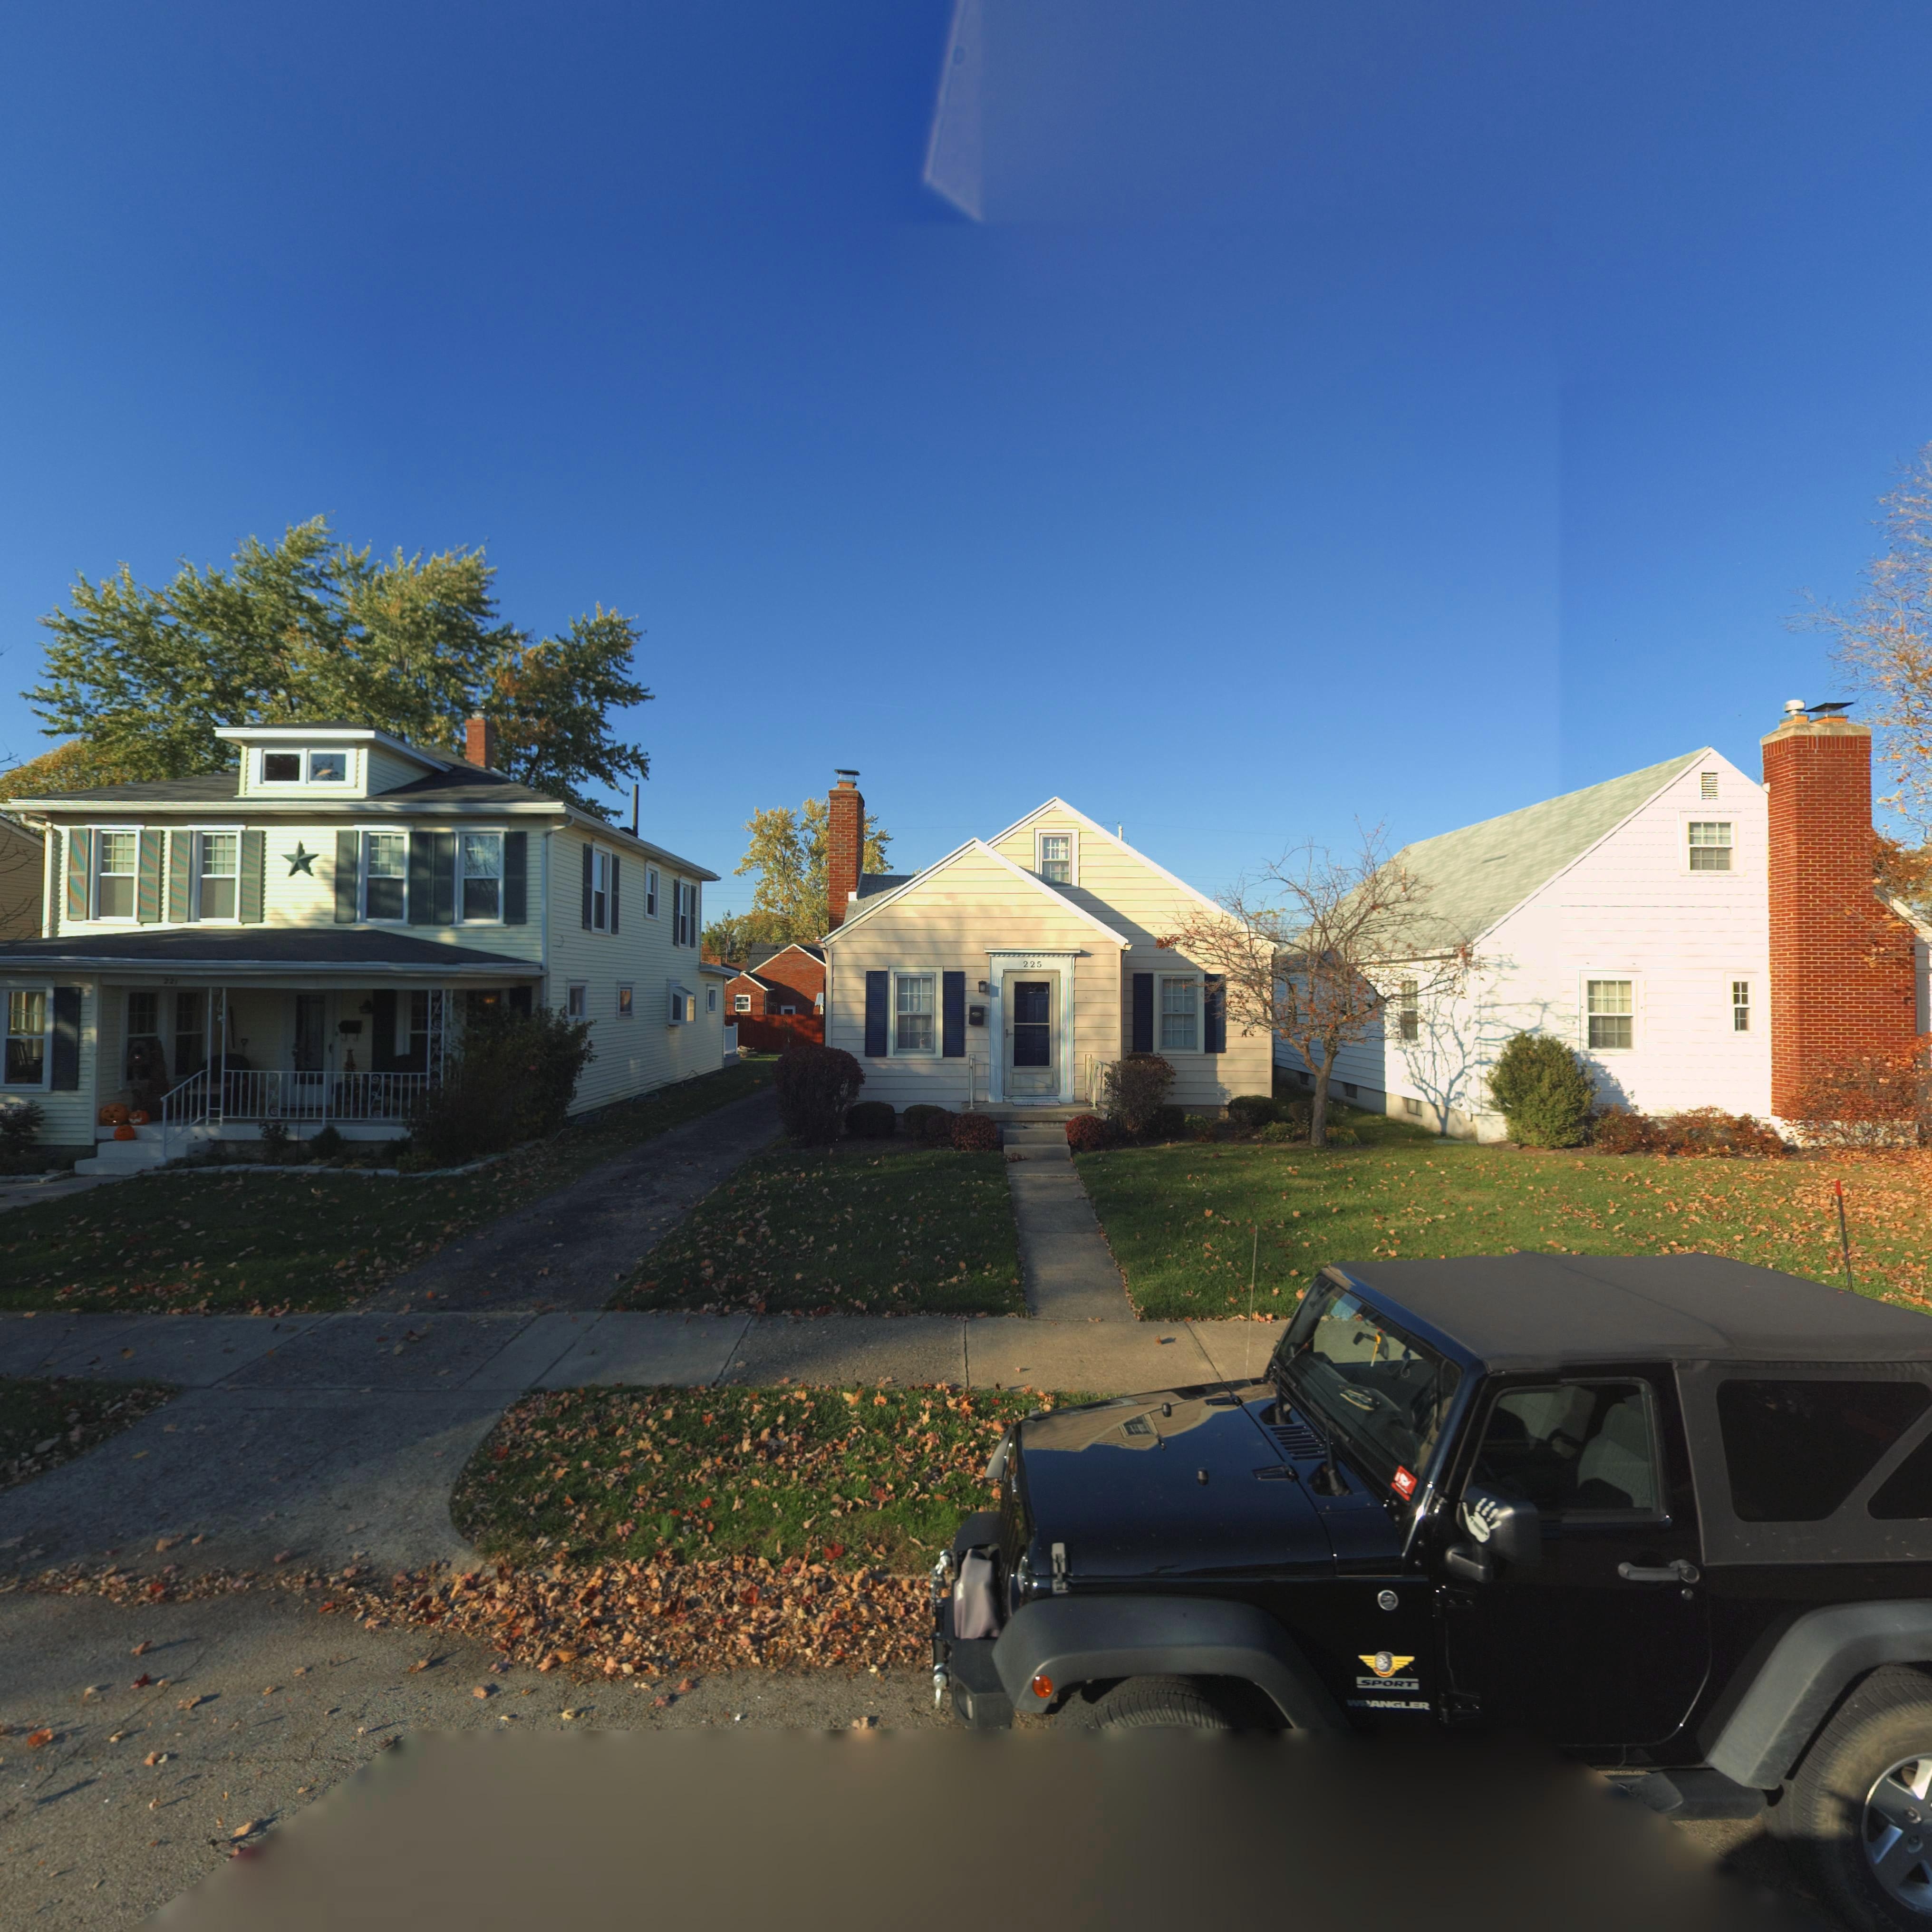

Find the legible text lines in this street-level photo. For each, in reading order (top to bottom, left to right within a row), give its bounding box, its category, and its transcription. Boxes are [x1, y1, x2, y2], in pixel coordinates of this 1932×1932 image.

[1022, 959, 1043, 969] StreetNumber: 225
[162, 976, 180, 986] StreetNumber: 221